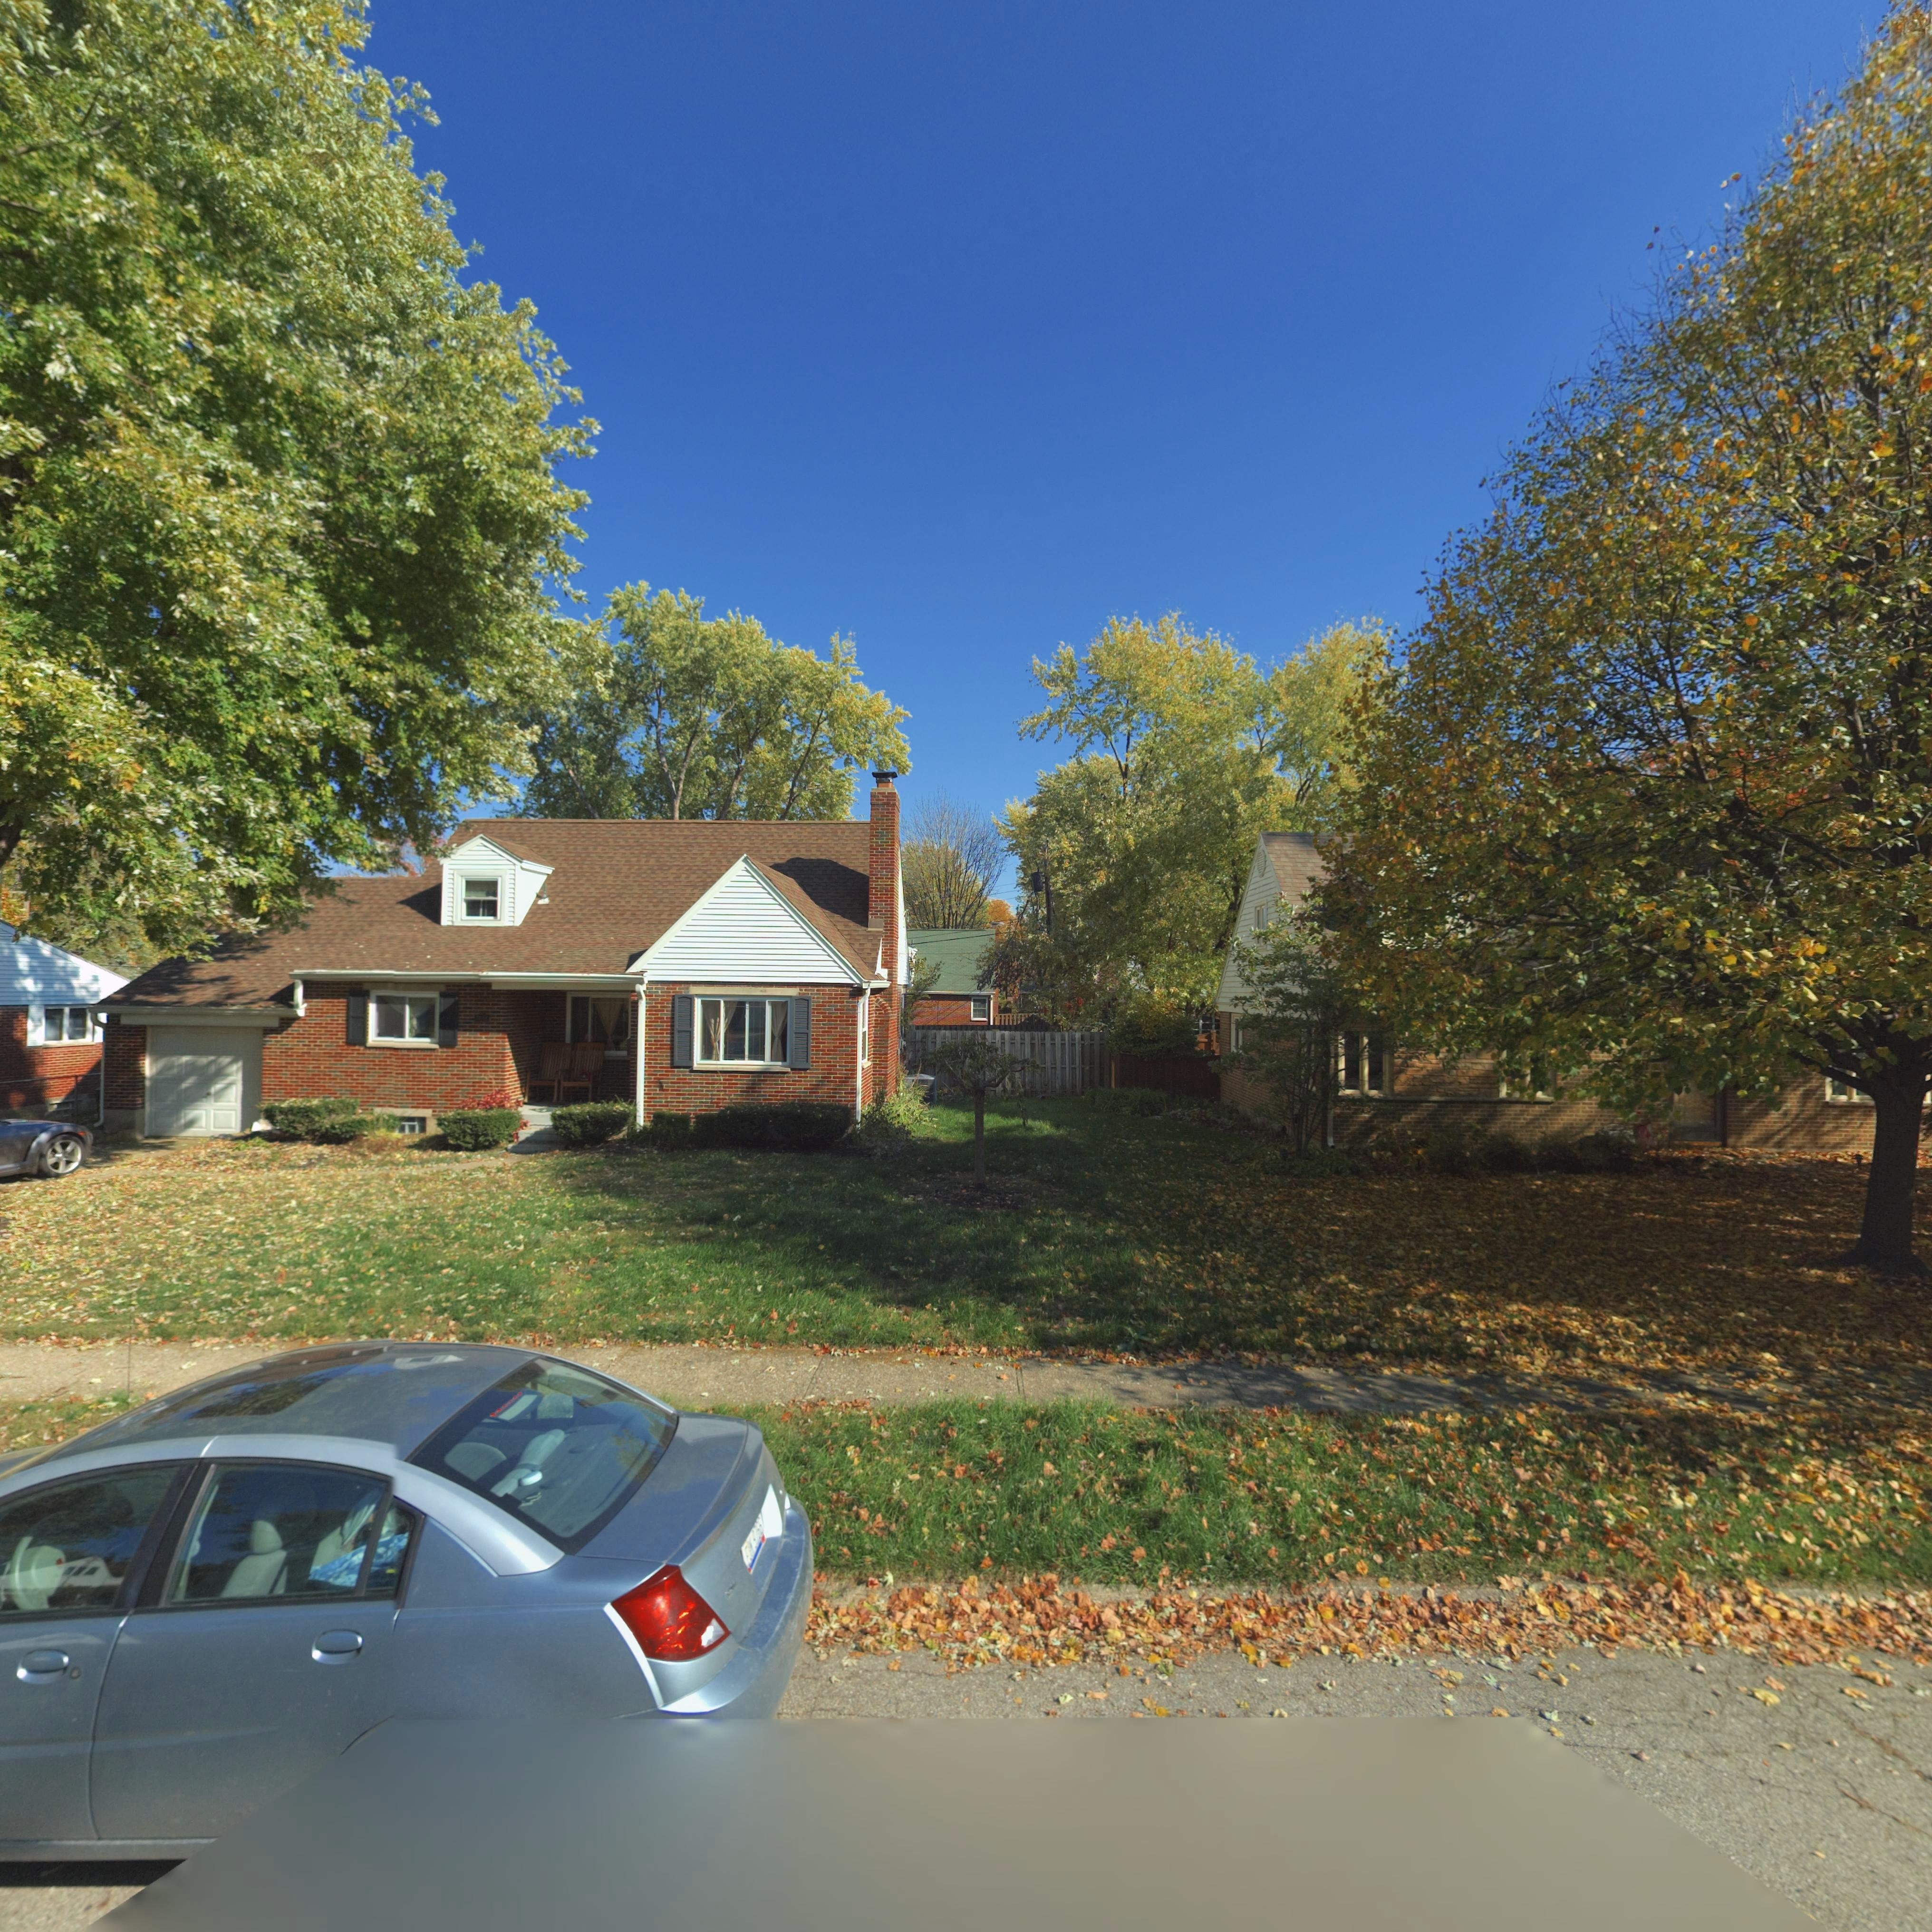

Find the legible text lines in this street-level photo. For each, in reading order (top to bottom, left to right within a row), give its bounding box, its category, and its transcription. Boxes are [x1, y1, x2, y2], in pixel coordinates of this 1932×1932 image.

[751, 1515, 764, 1553] None: 9766